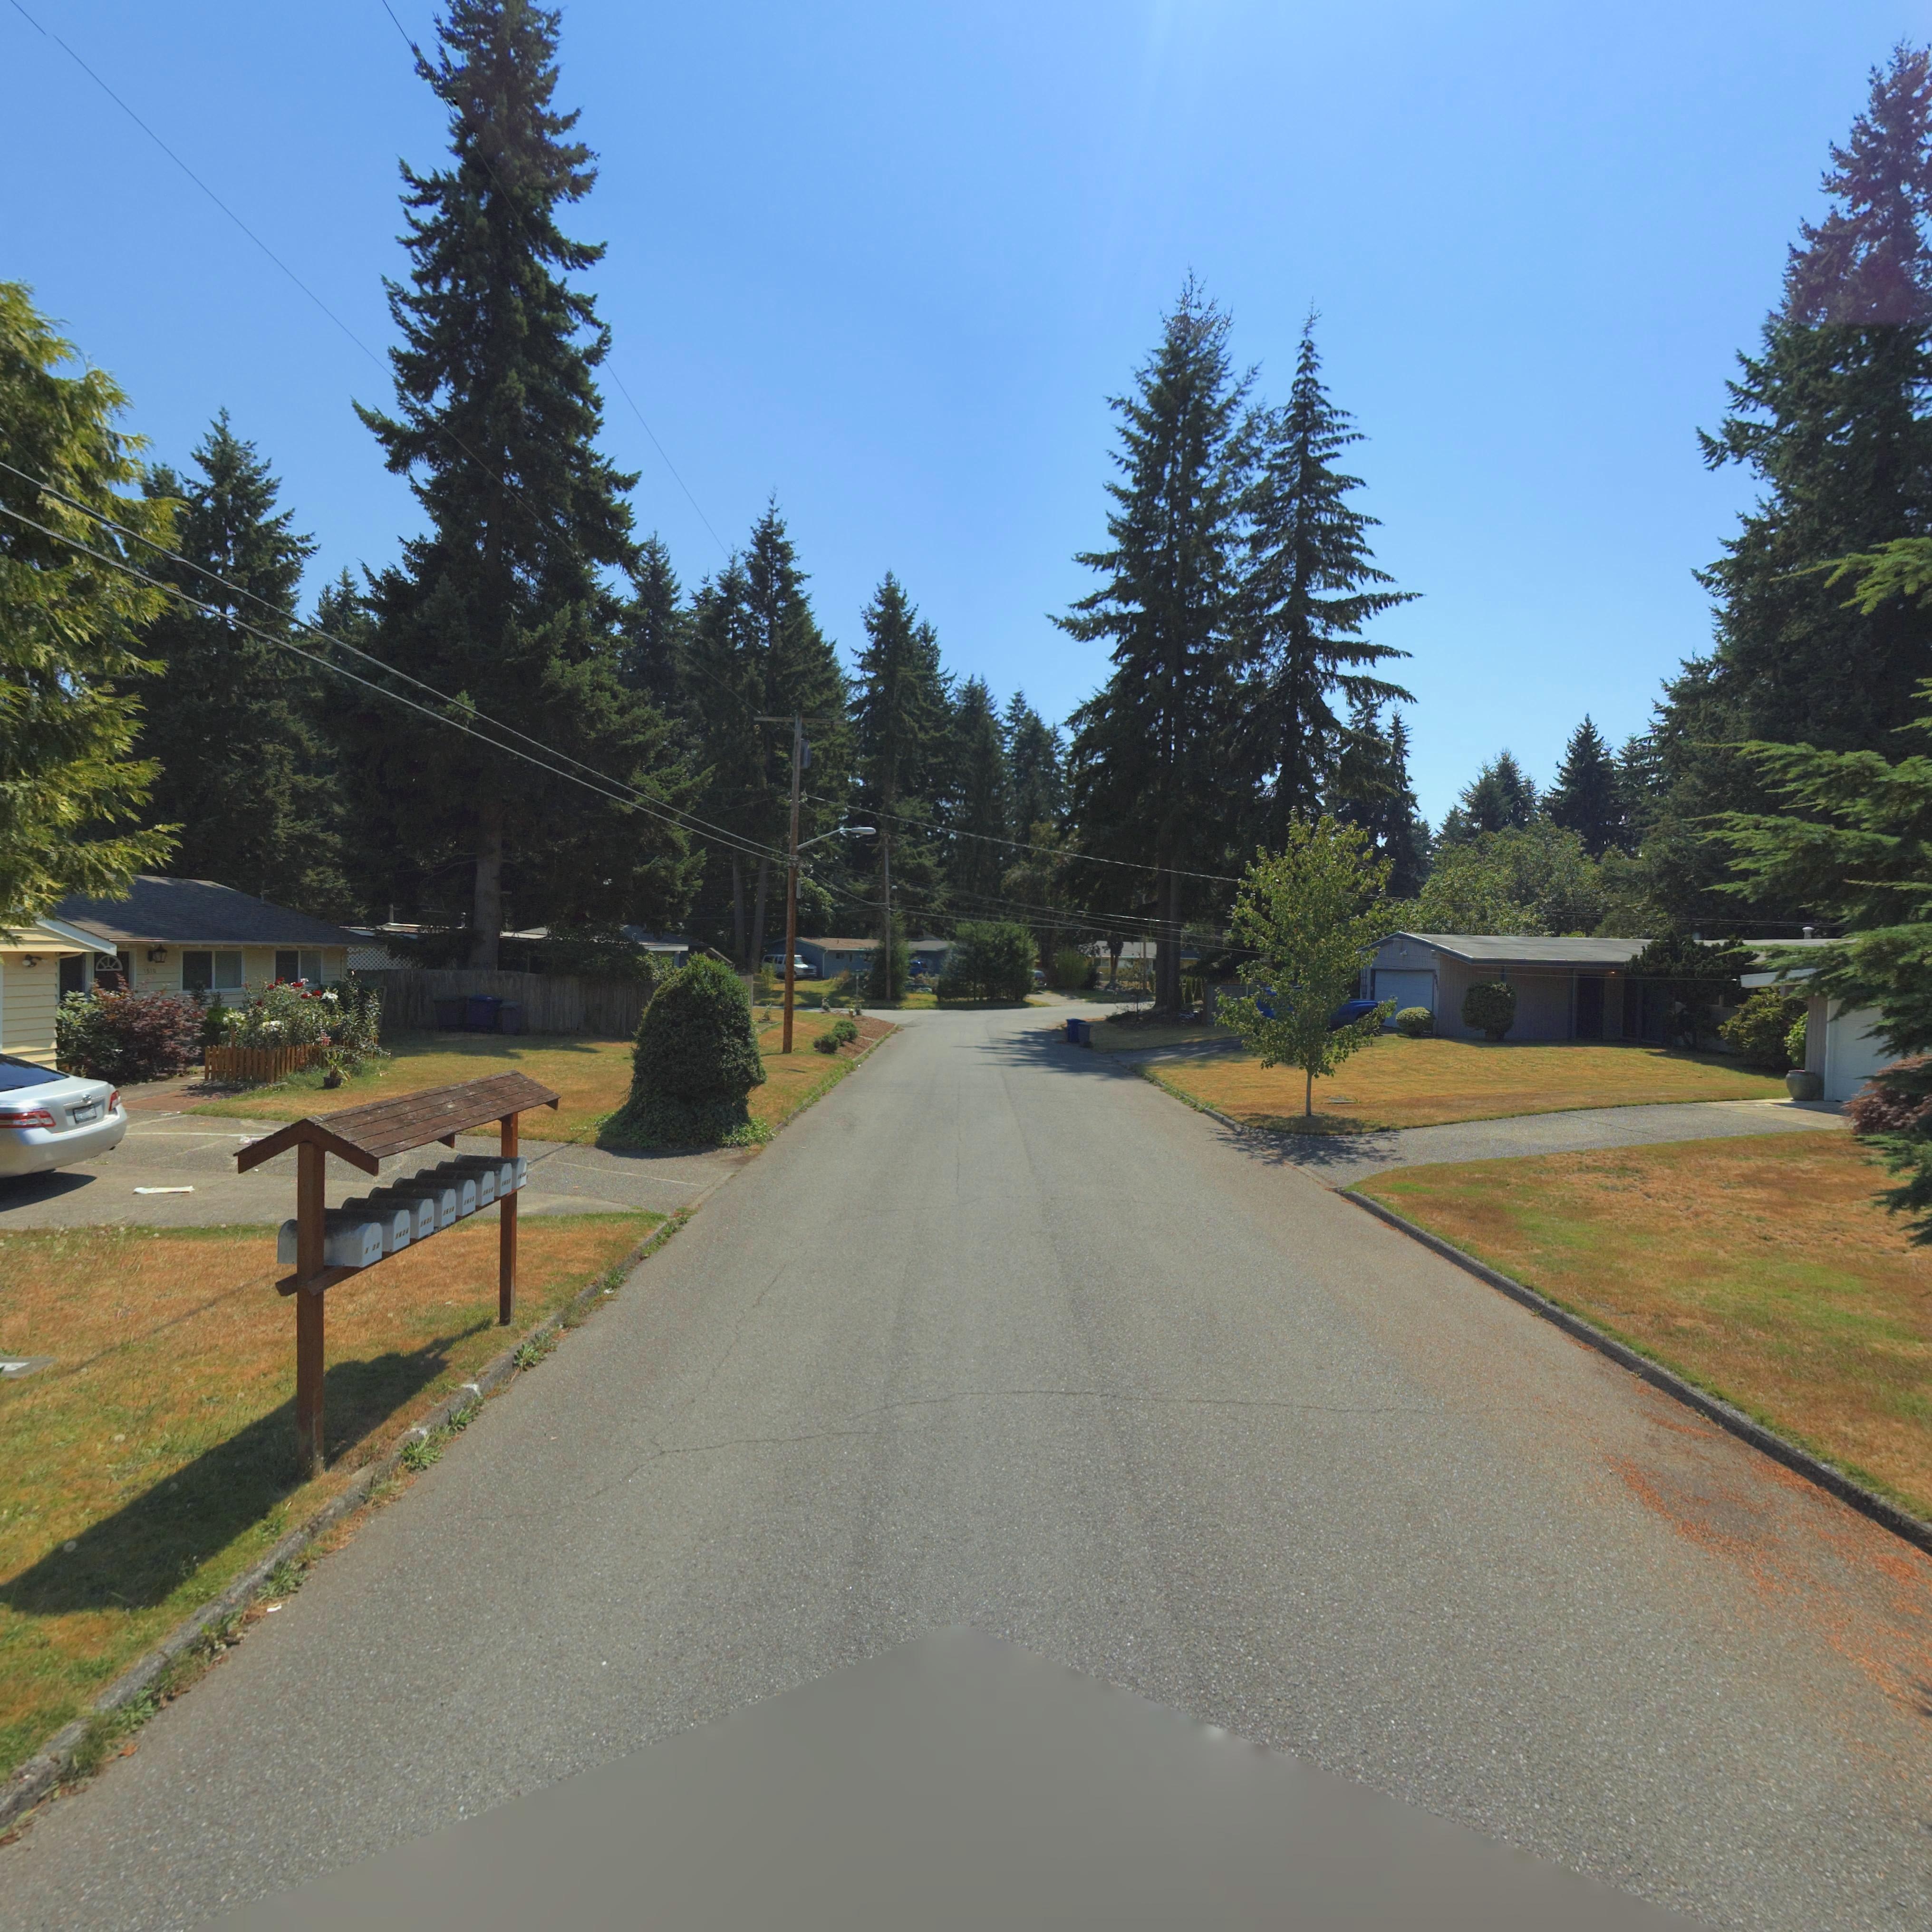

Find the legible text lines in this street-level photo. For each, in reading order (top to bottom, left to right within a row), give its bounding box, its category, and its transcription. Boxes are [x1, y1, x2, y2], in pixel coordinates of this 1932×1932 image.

[143, 967, 156, 974] StreetNumber: 16*